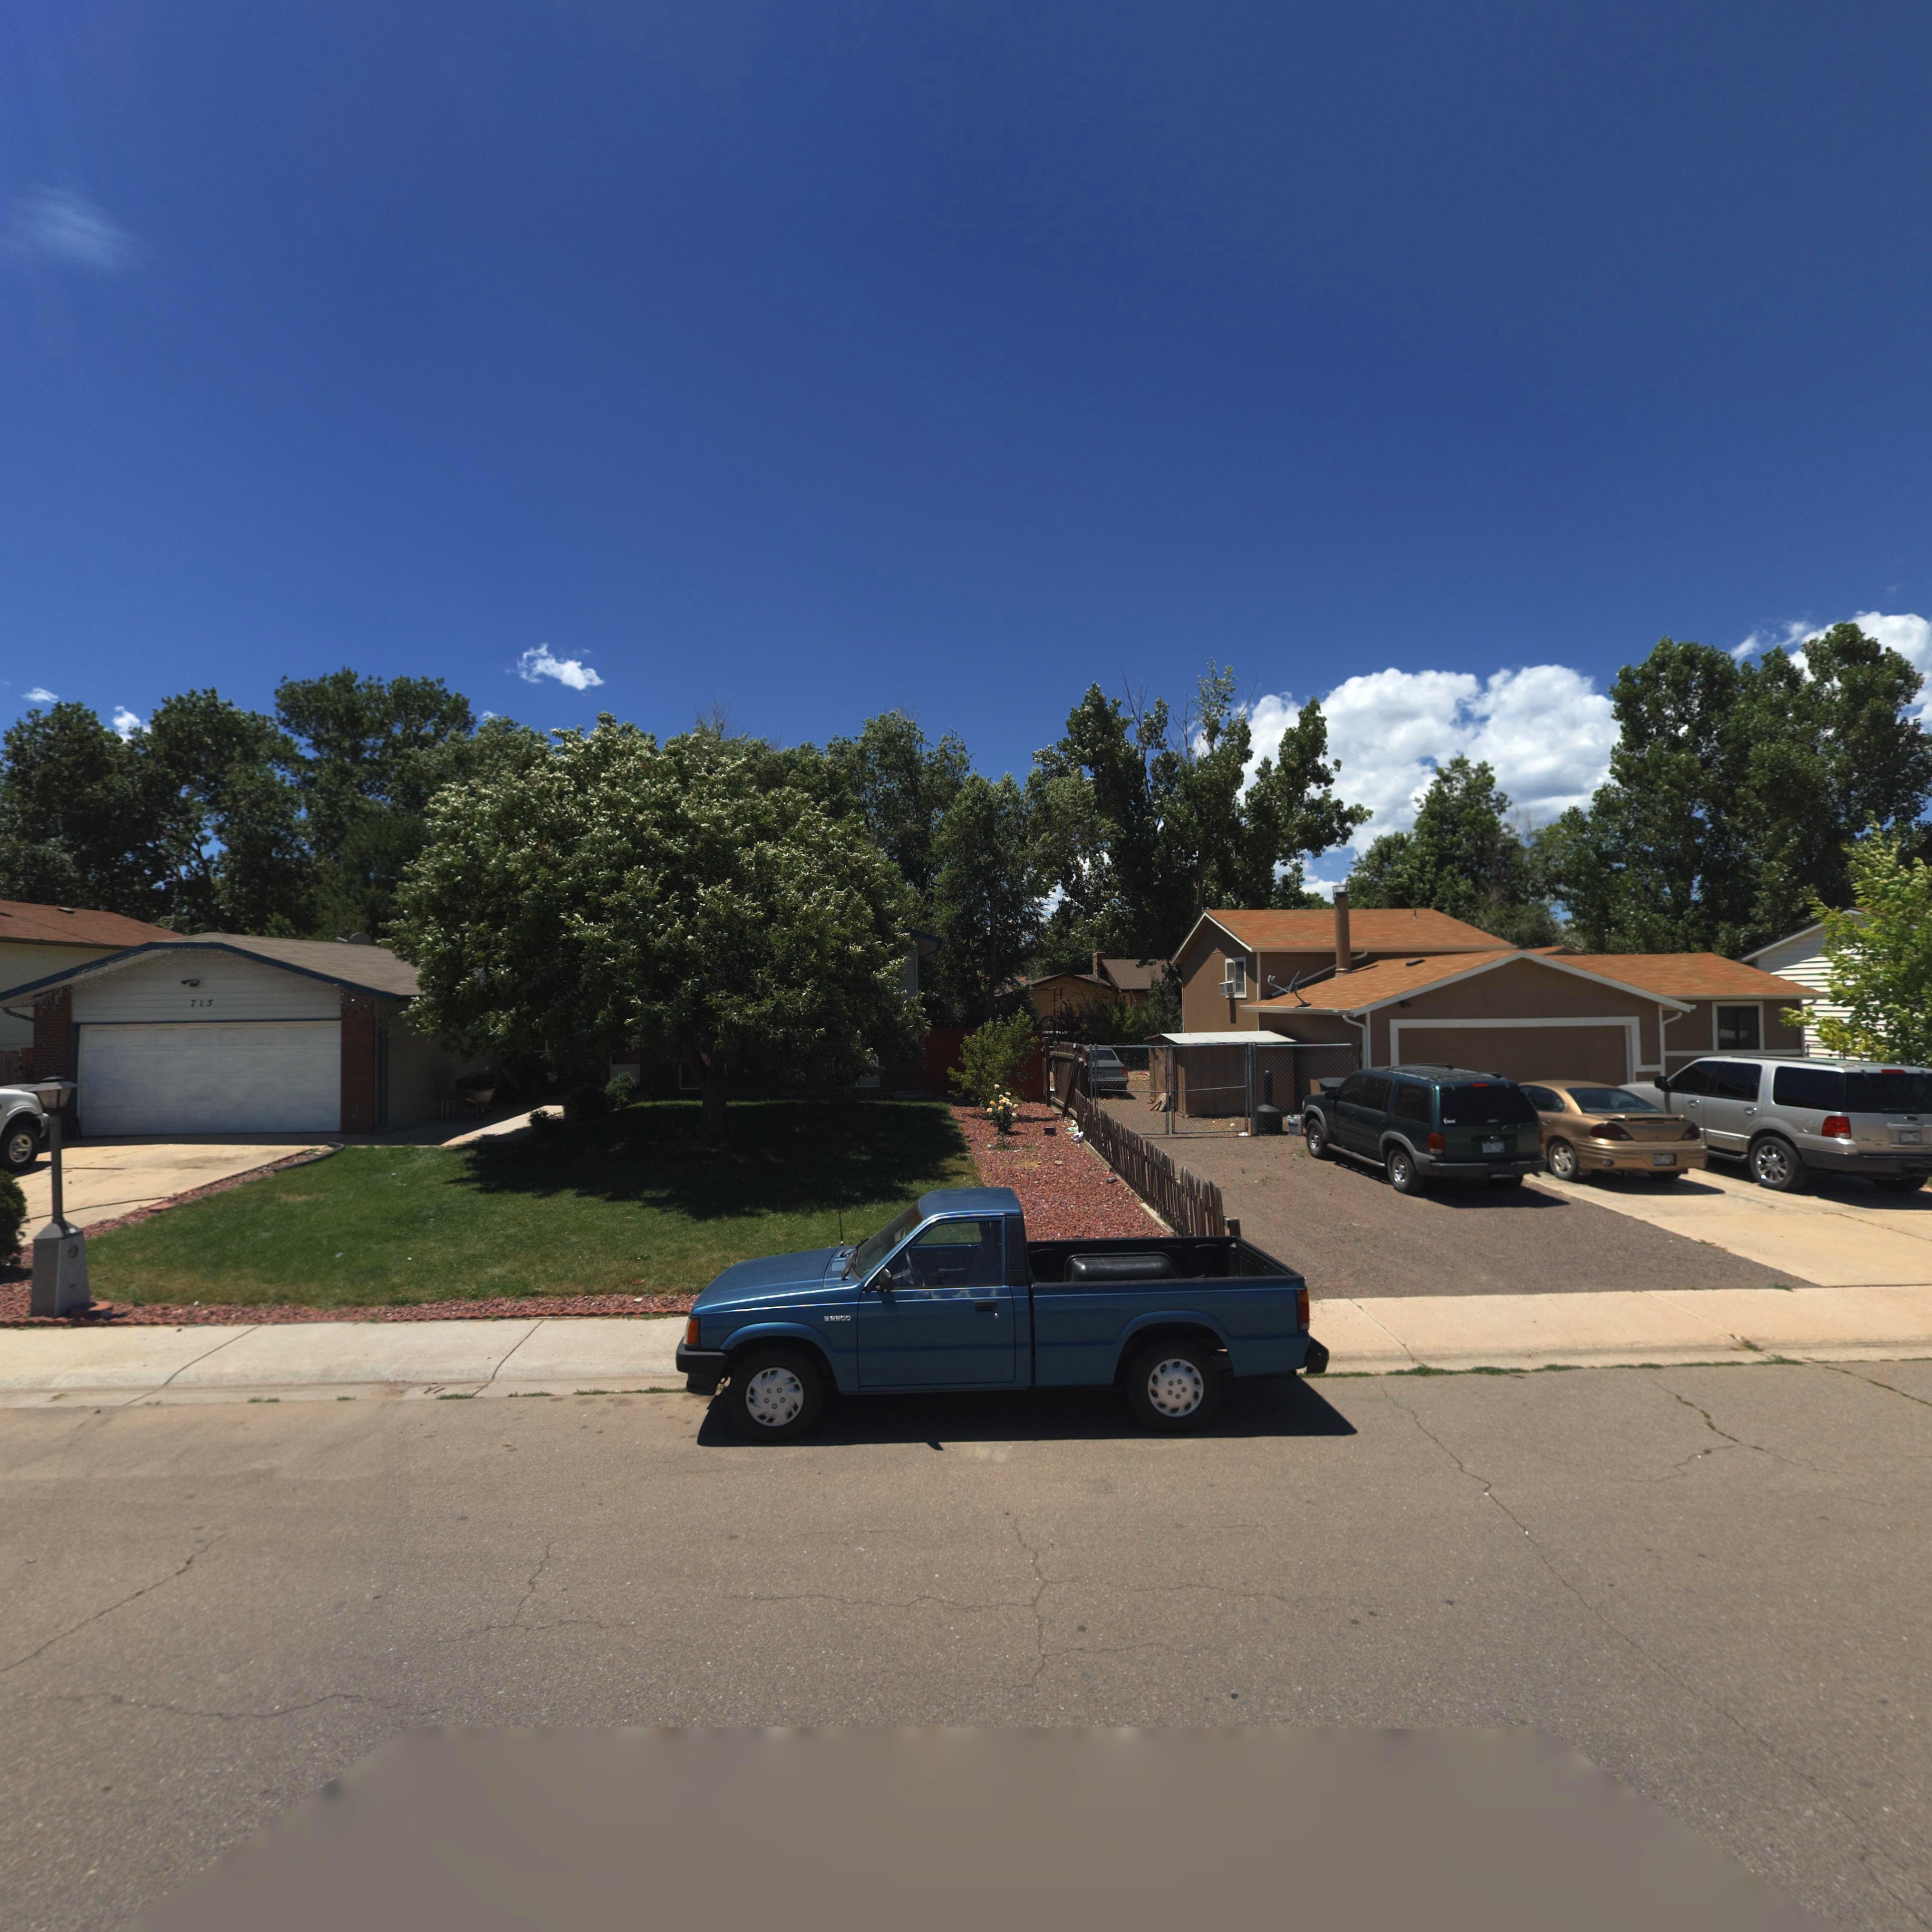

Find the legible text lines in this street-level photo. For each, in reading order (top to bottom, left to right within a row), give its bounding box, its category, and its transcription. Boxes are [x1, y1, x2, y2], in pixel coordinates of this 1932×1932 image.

[189, 999, 214, 1007] StreetNumber: 715